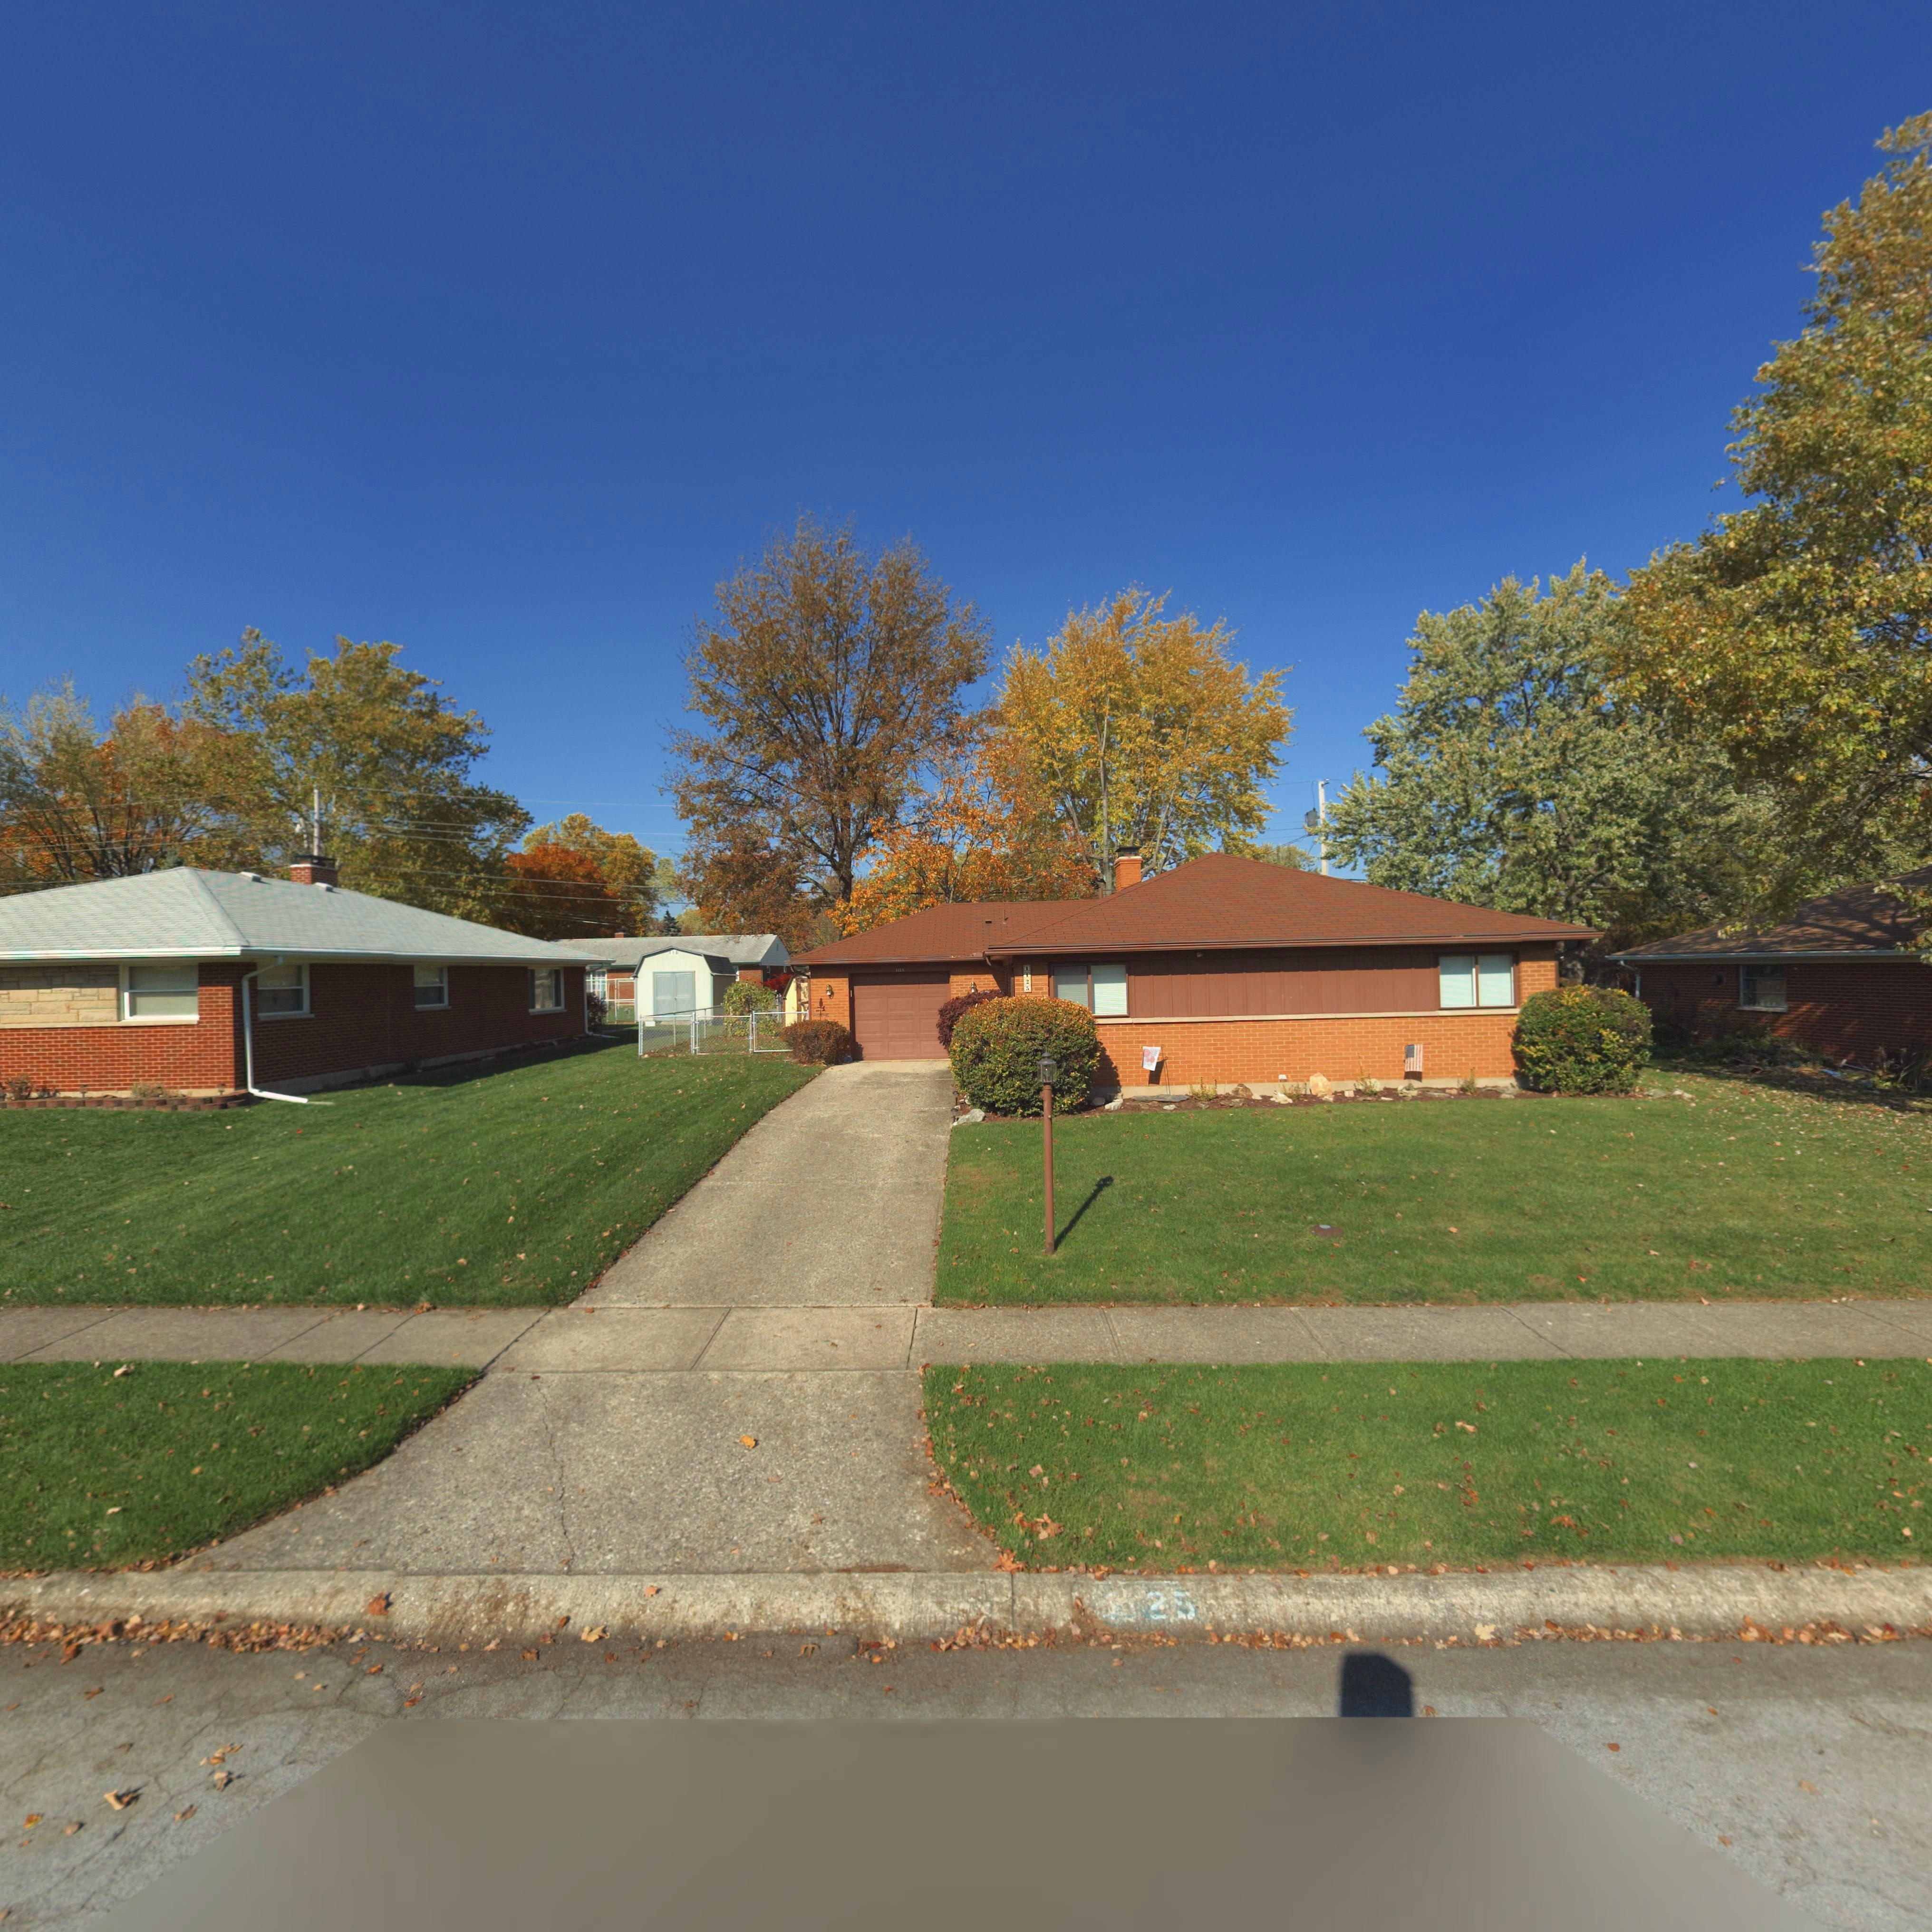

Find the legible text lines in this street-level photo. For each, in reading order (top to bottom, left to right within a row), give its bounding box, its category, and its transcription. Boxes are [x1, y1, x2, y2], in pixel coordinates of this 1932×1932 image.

[895, 967, 905, 973] StreetNumber: 1125
[1024, 965, 1030, 992] StreetNumber: 1125
[1101, 1588, 1200, 1624] StreetNumber: **25